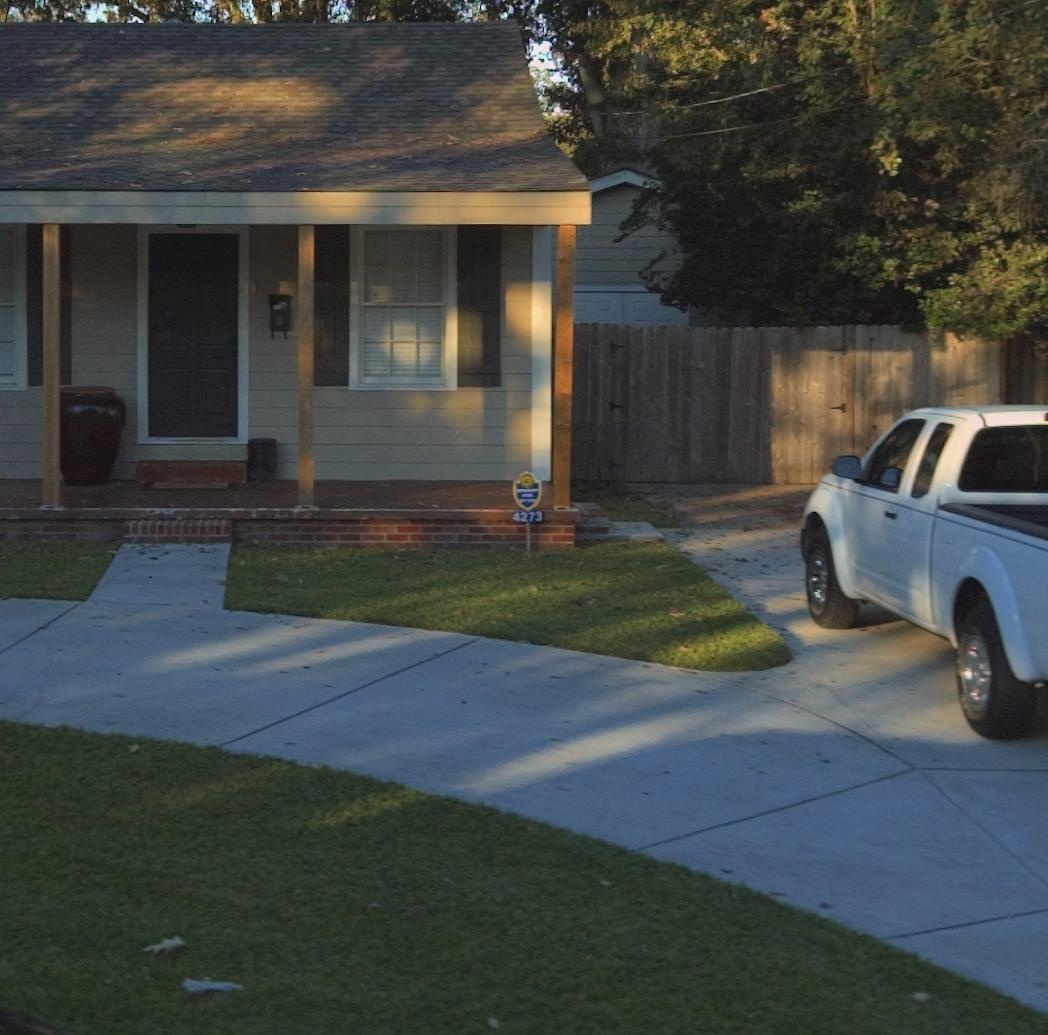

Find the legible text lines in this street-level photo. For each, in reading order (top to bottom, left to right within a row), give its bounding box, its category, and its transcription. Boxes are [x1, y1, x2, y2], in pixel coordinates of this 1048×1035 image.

[511, 510, 544, 524] StreetNumber: 4273